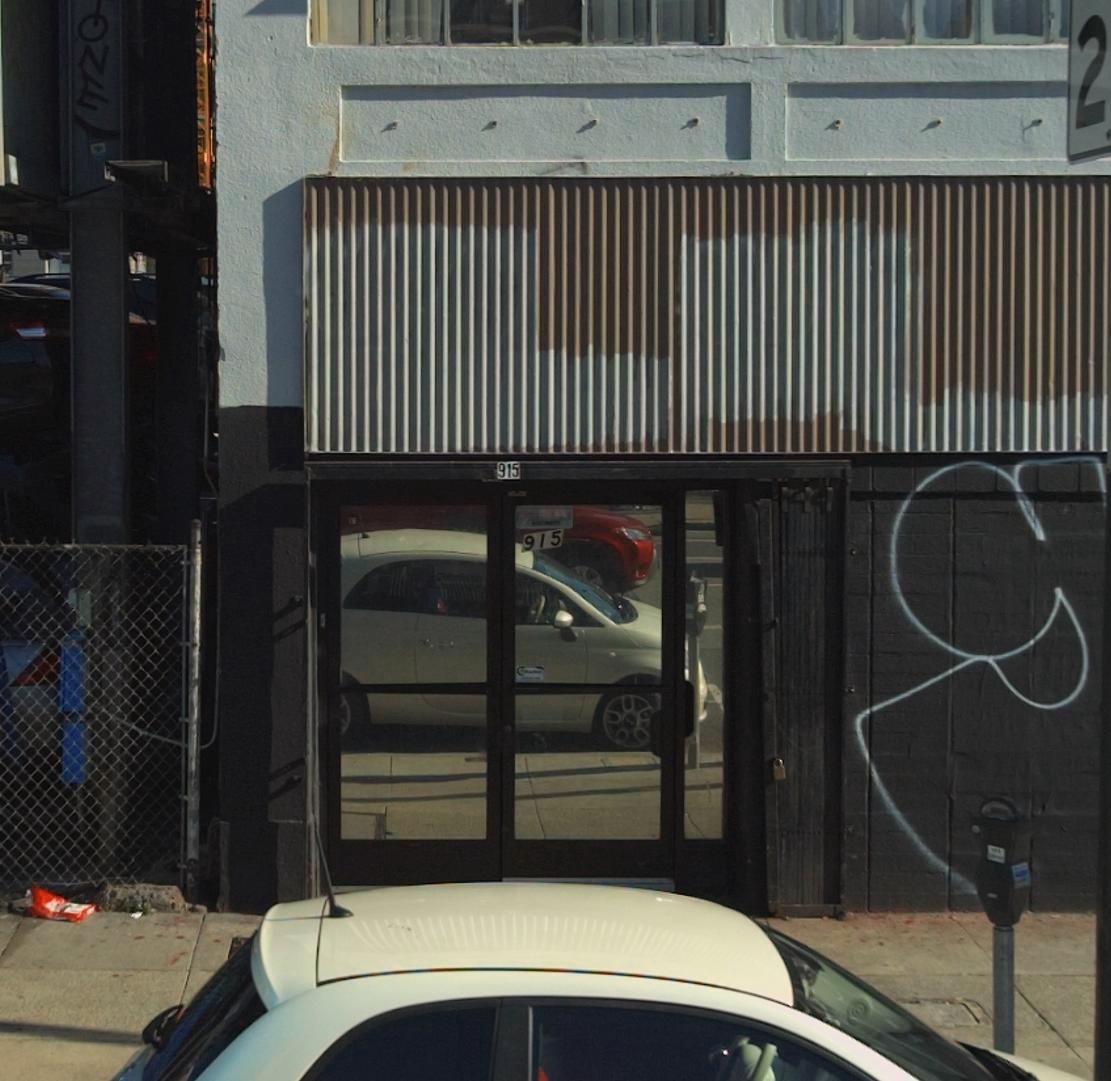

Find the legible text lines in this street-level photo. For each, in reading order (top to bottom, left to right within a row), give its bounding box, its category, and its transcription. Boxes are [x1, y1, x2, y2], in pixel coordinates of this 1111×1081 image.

[497, 462, 520, 479] StreetNumber: 915
[523, 529, 564, 552] StreetNumber: 915